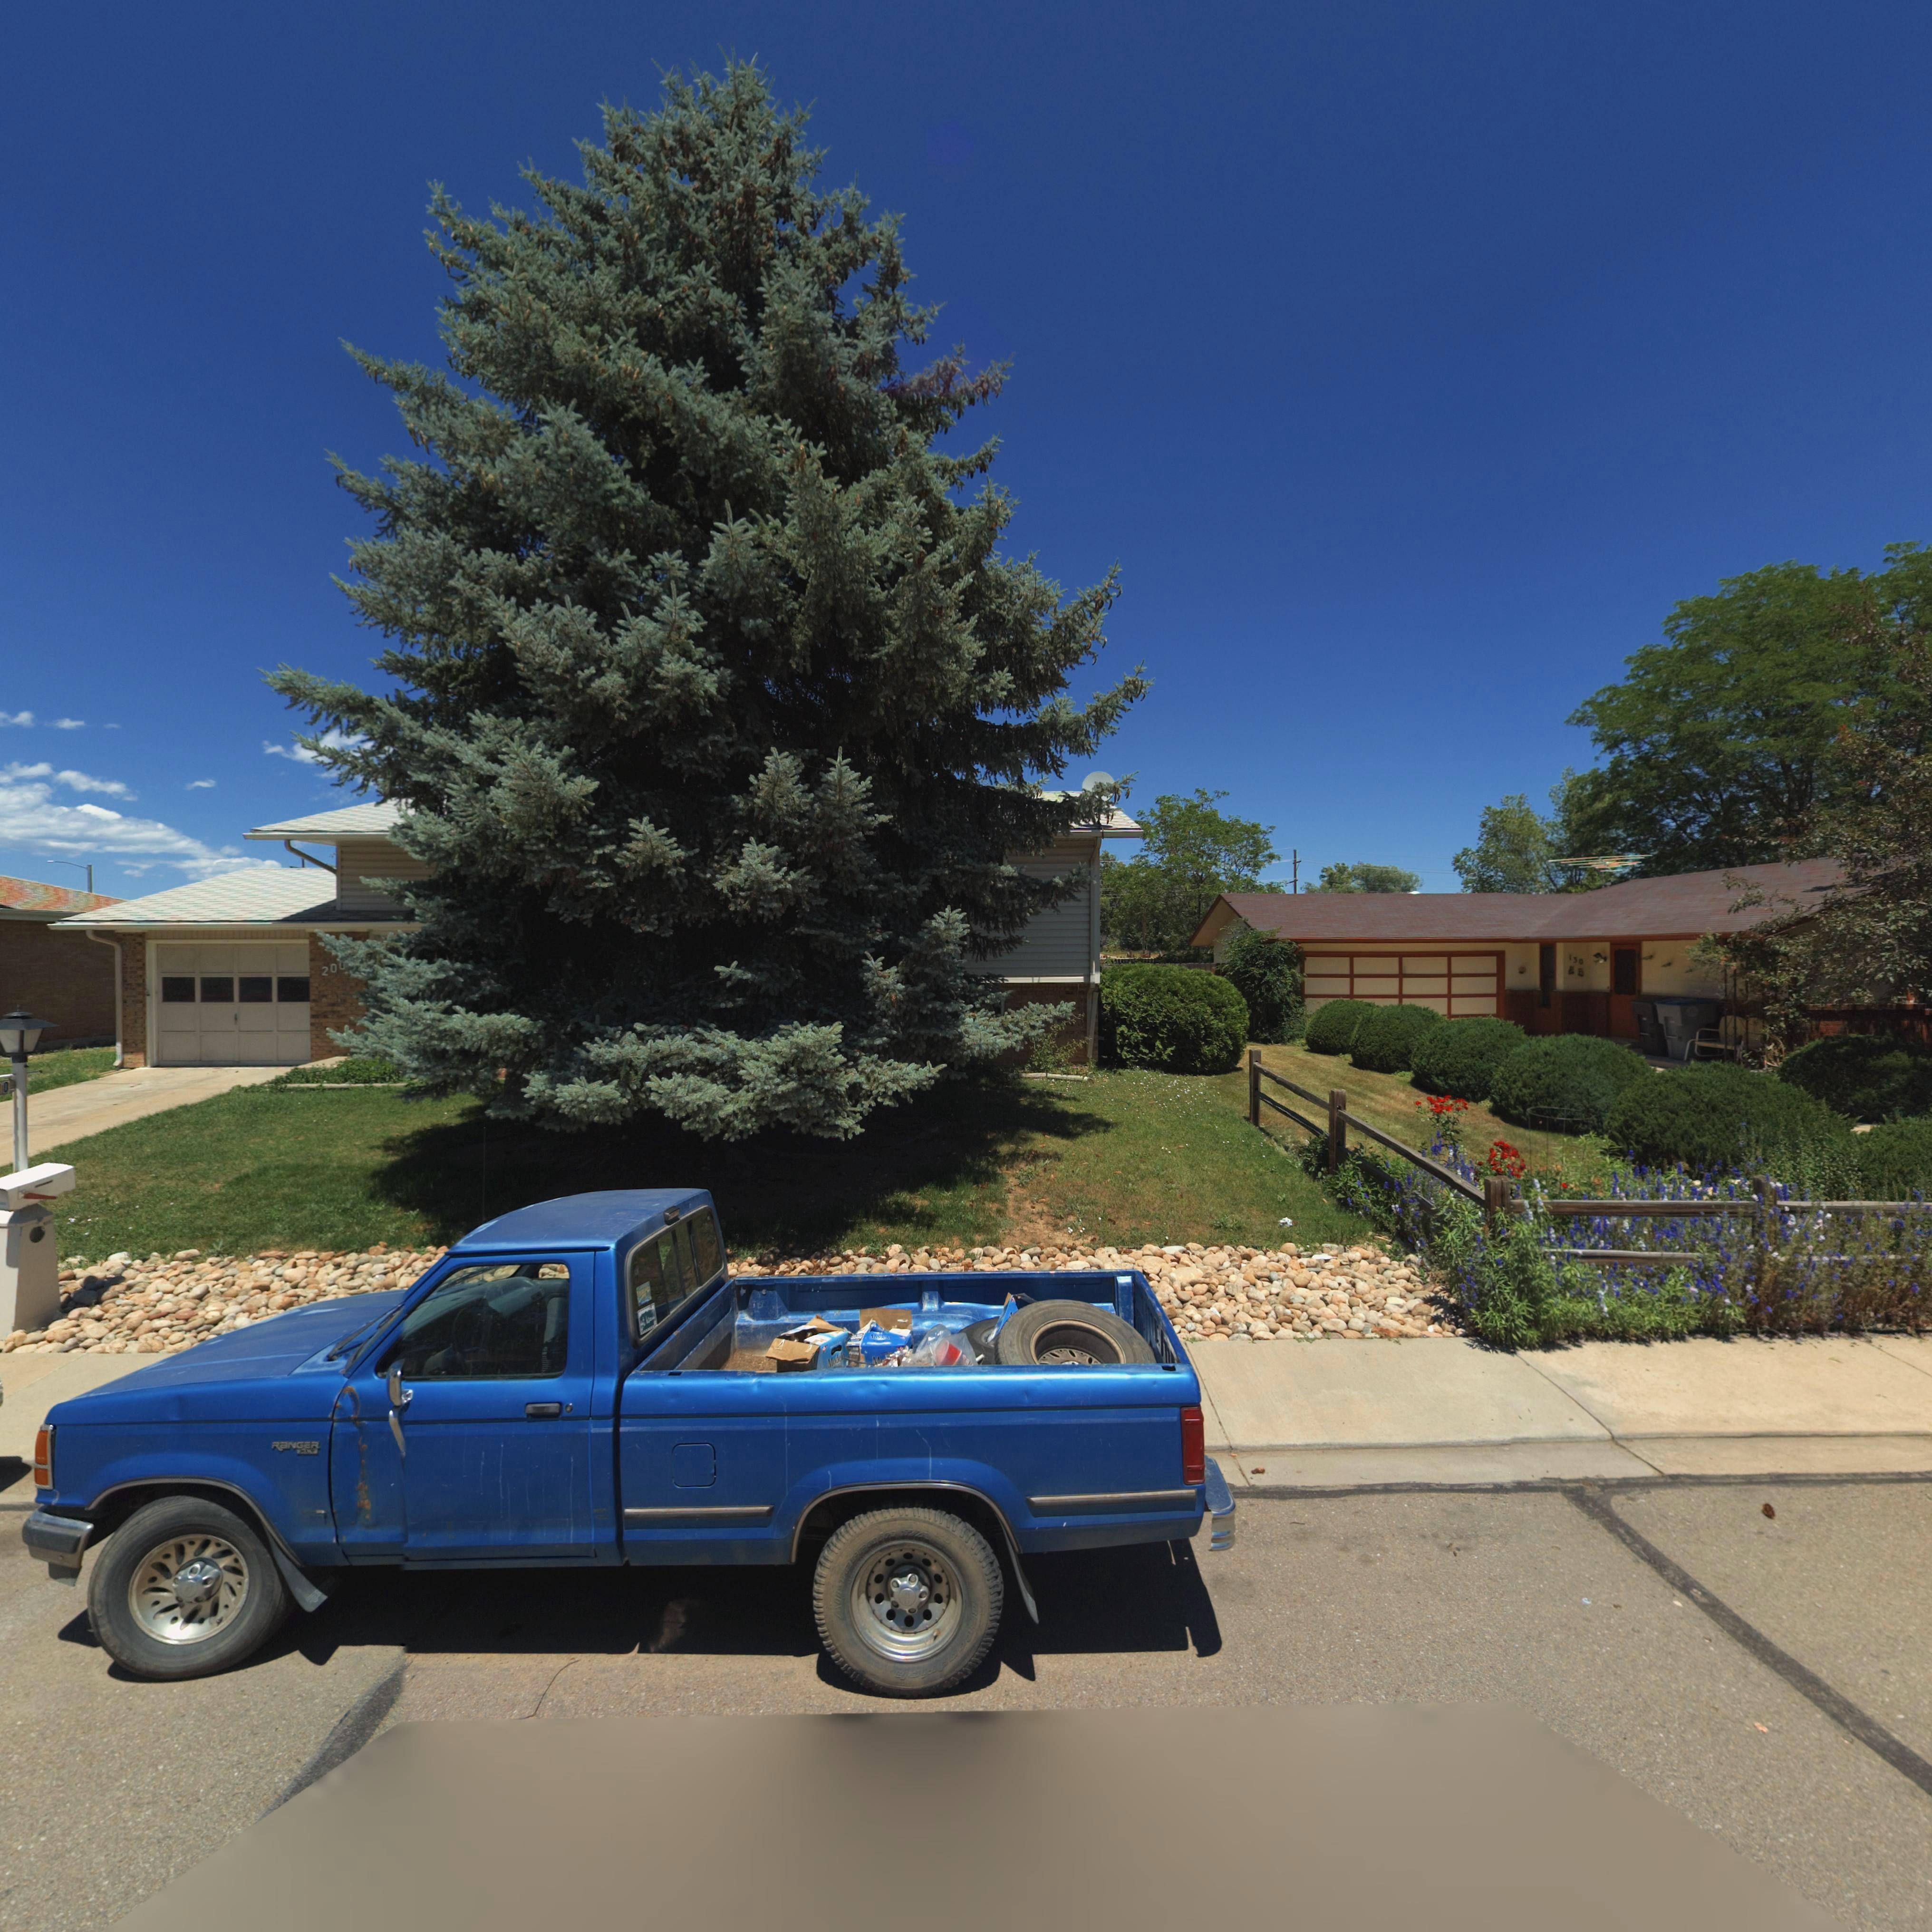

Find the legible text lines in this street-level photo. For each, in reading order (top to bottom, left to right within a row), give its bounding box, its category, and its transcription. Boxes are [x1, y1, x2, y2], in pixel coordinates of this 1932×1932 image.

[321, 958, 346, 976] StreetNumber: 200
[1569, 954, 1584, 965] StreetNumber: 130